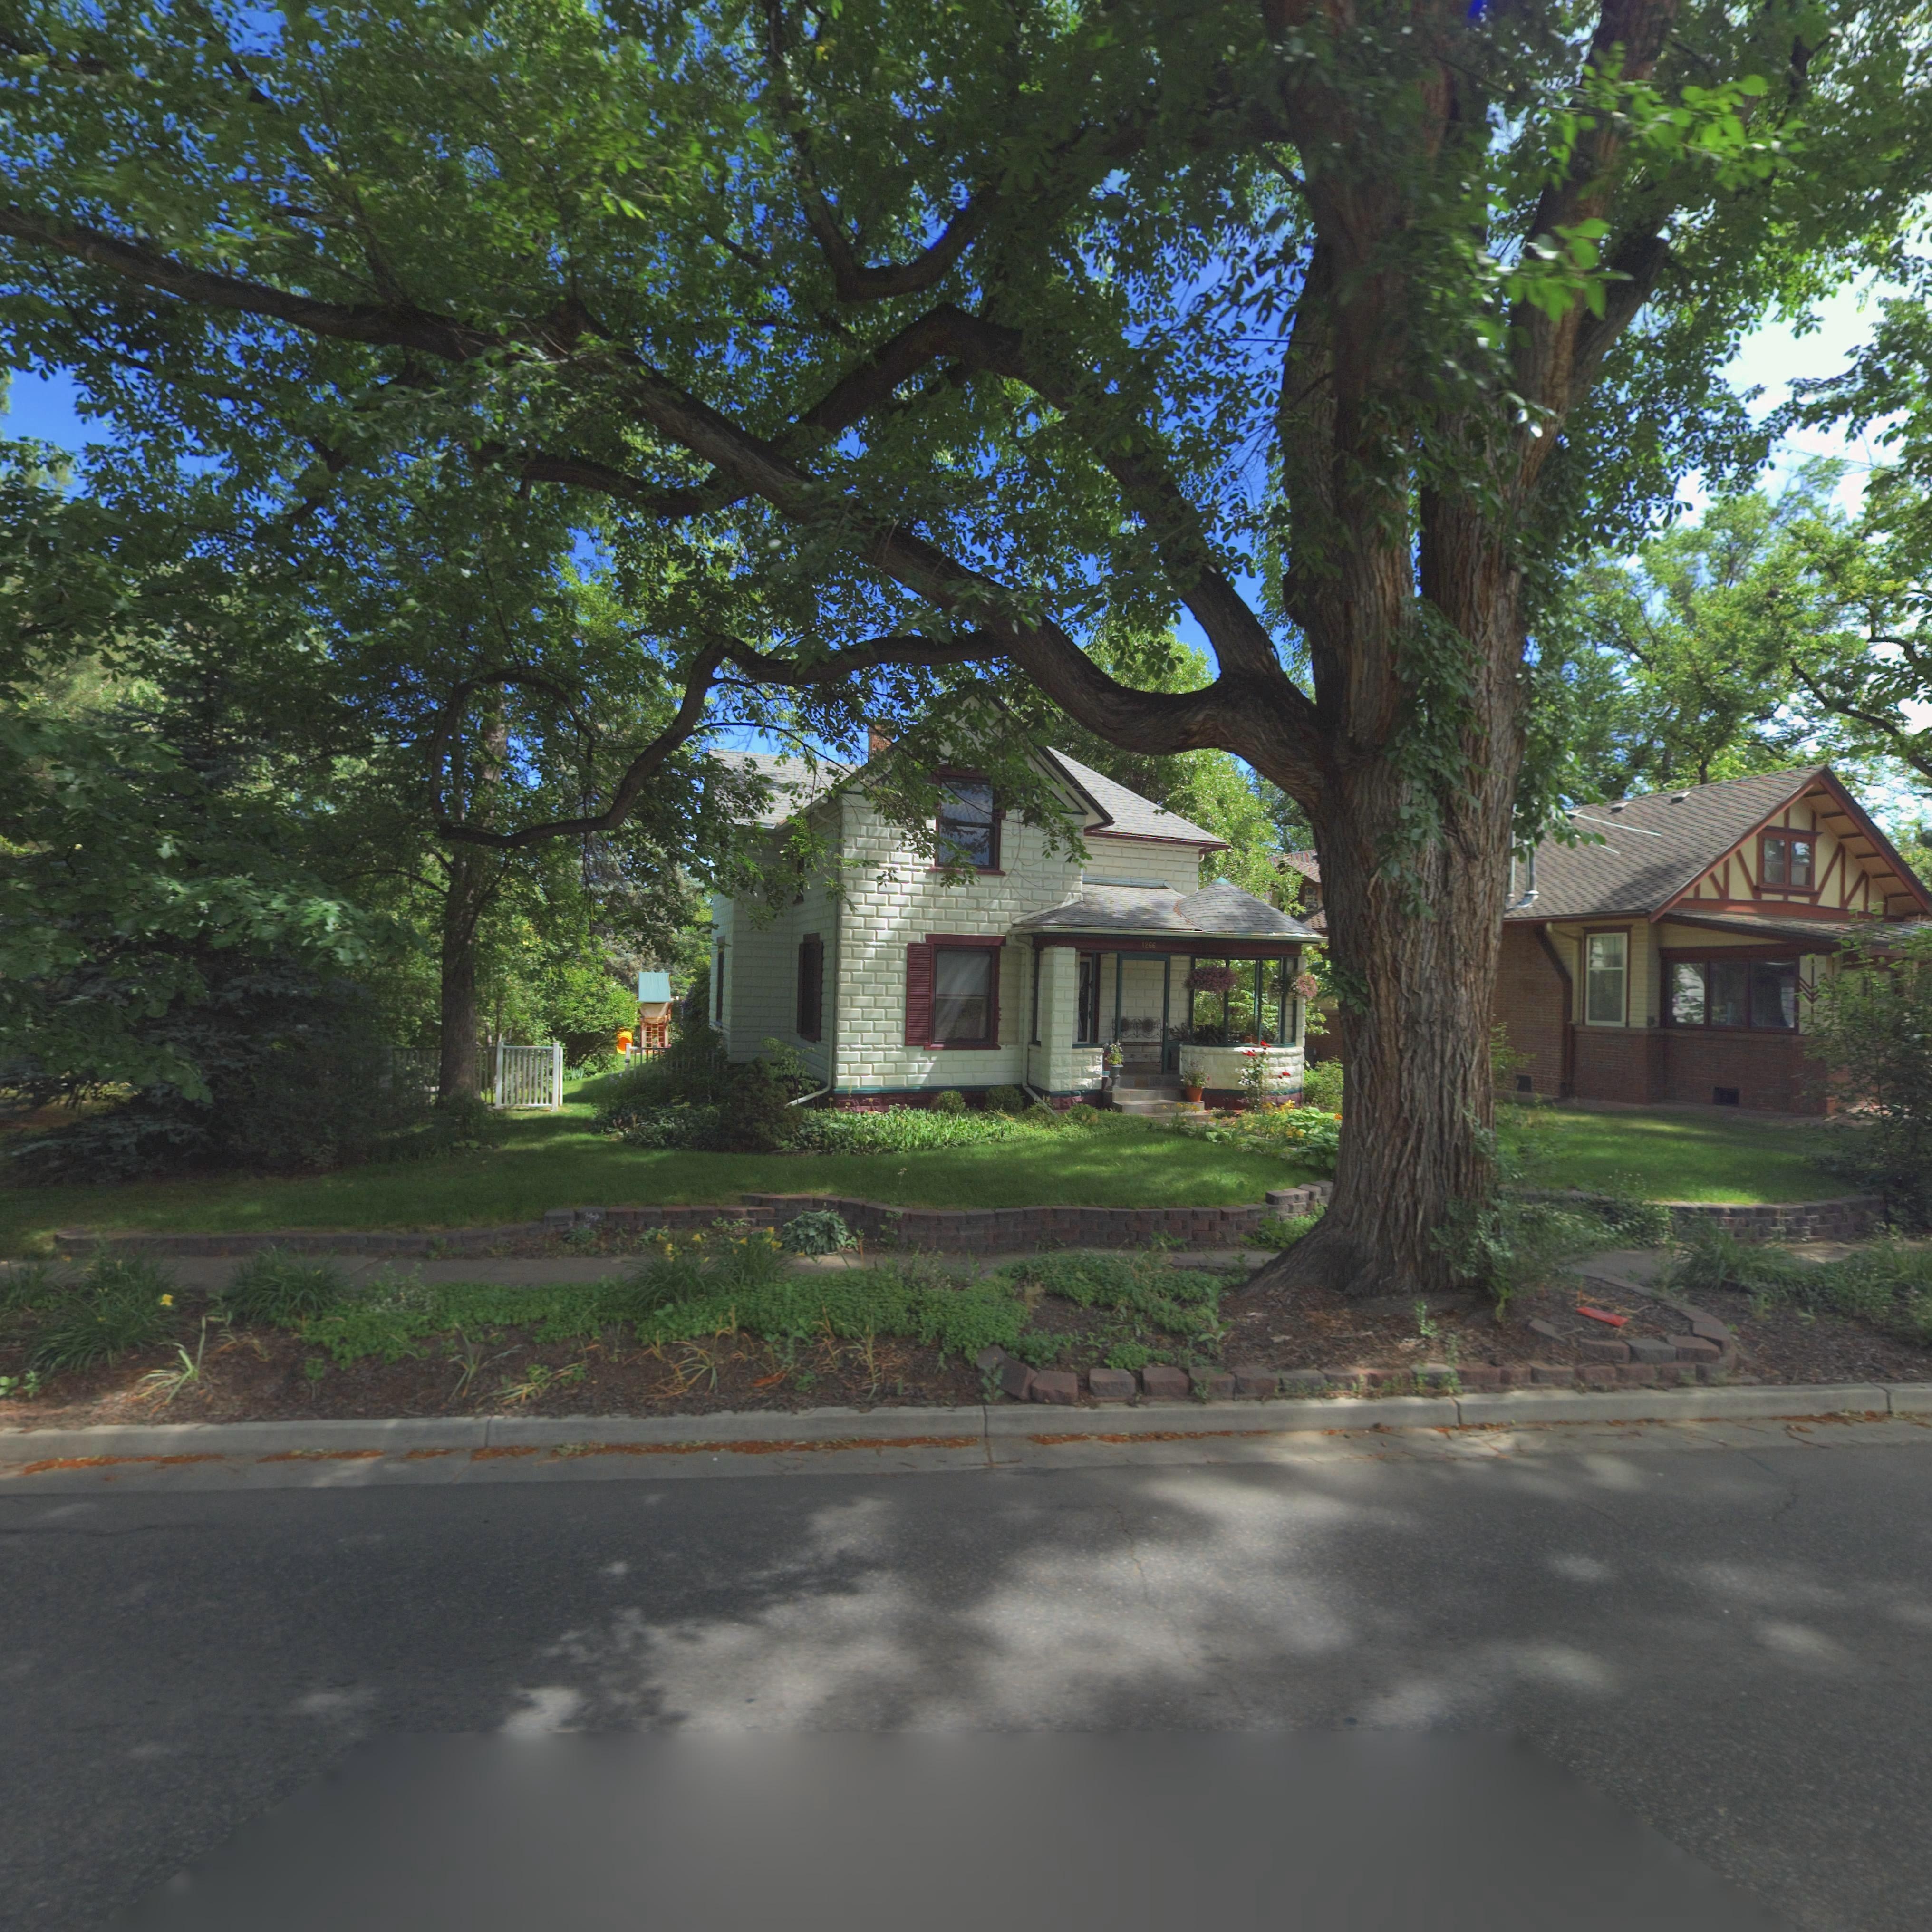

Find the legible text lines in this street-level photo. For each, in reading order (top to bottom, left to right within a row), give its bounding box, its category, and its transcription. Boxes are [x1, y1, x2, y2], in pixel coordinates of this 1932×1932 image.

[1142, 941, 1156, 948] StreetNumber: 1266